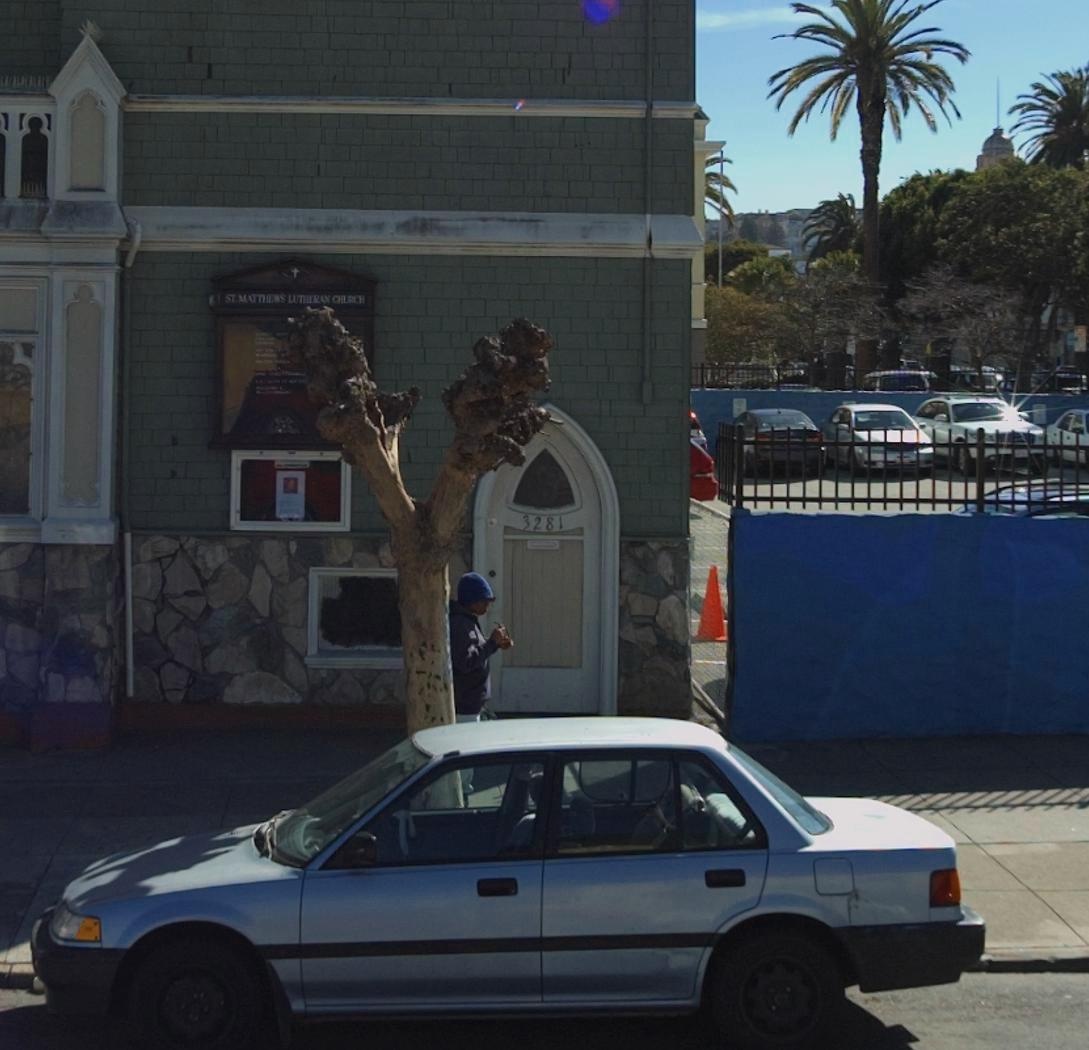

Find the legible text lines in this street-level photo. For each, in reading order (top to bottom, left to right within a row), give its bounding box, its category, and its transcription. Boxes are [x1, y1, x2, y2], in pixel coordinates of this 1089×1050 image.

[223, 292, 367, 305] BusinessName: ST MATTHEWS LUTHERAN CHURCH
[522, 513, 565, 532] StreetNumber: 3281